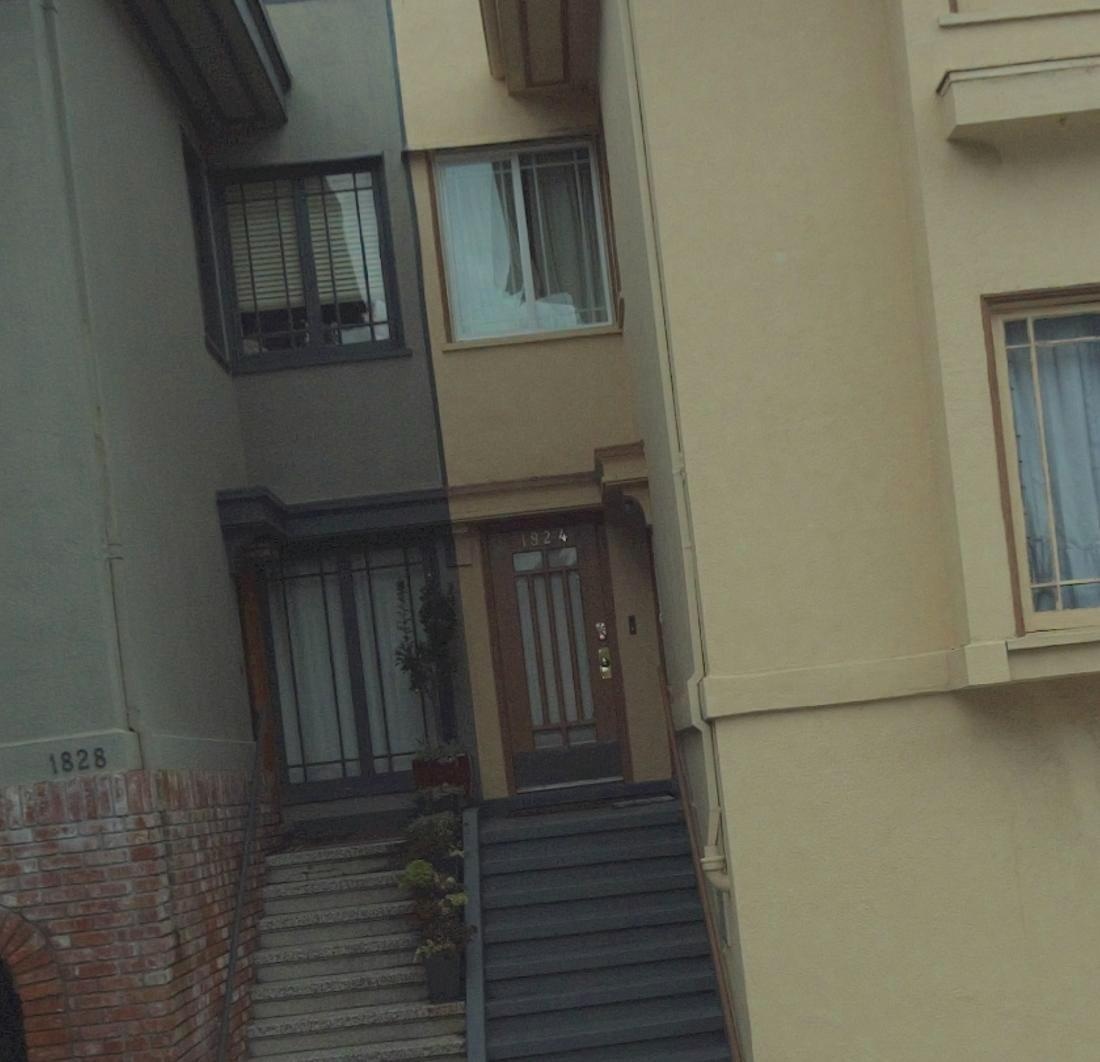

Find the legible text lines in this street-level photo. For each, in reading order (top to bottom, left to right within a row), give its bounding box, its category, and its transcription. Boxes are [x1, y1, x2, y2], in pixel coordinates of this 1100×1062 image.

[518, 523, 571, 552] StreetNumber: 1824
[44, 741, 109, 779] StreetNumber: 1828